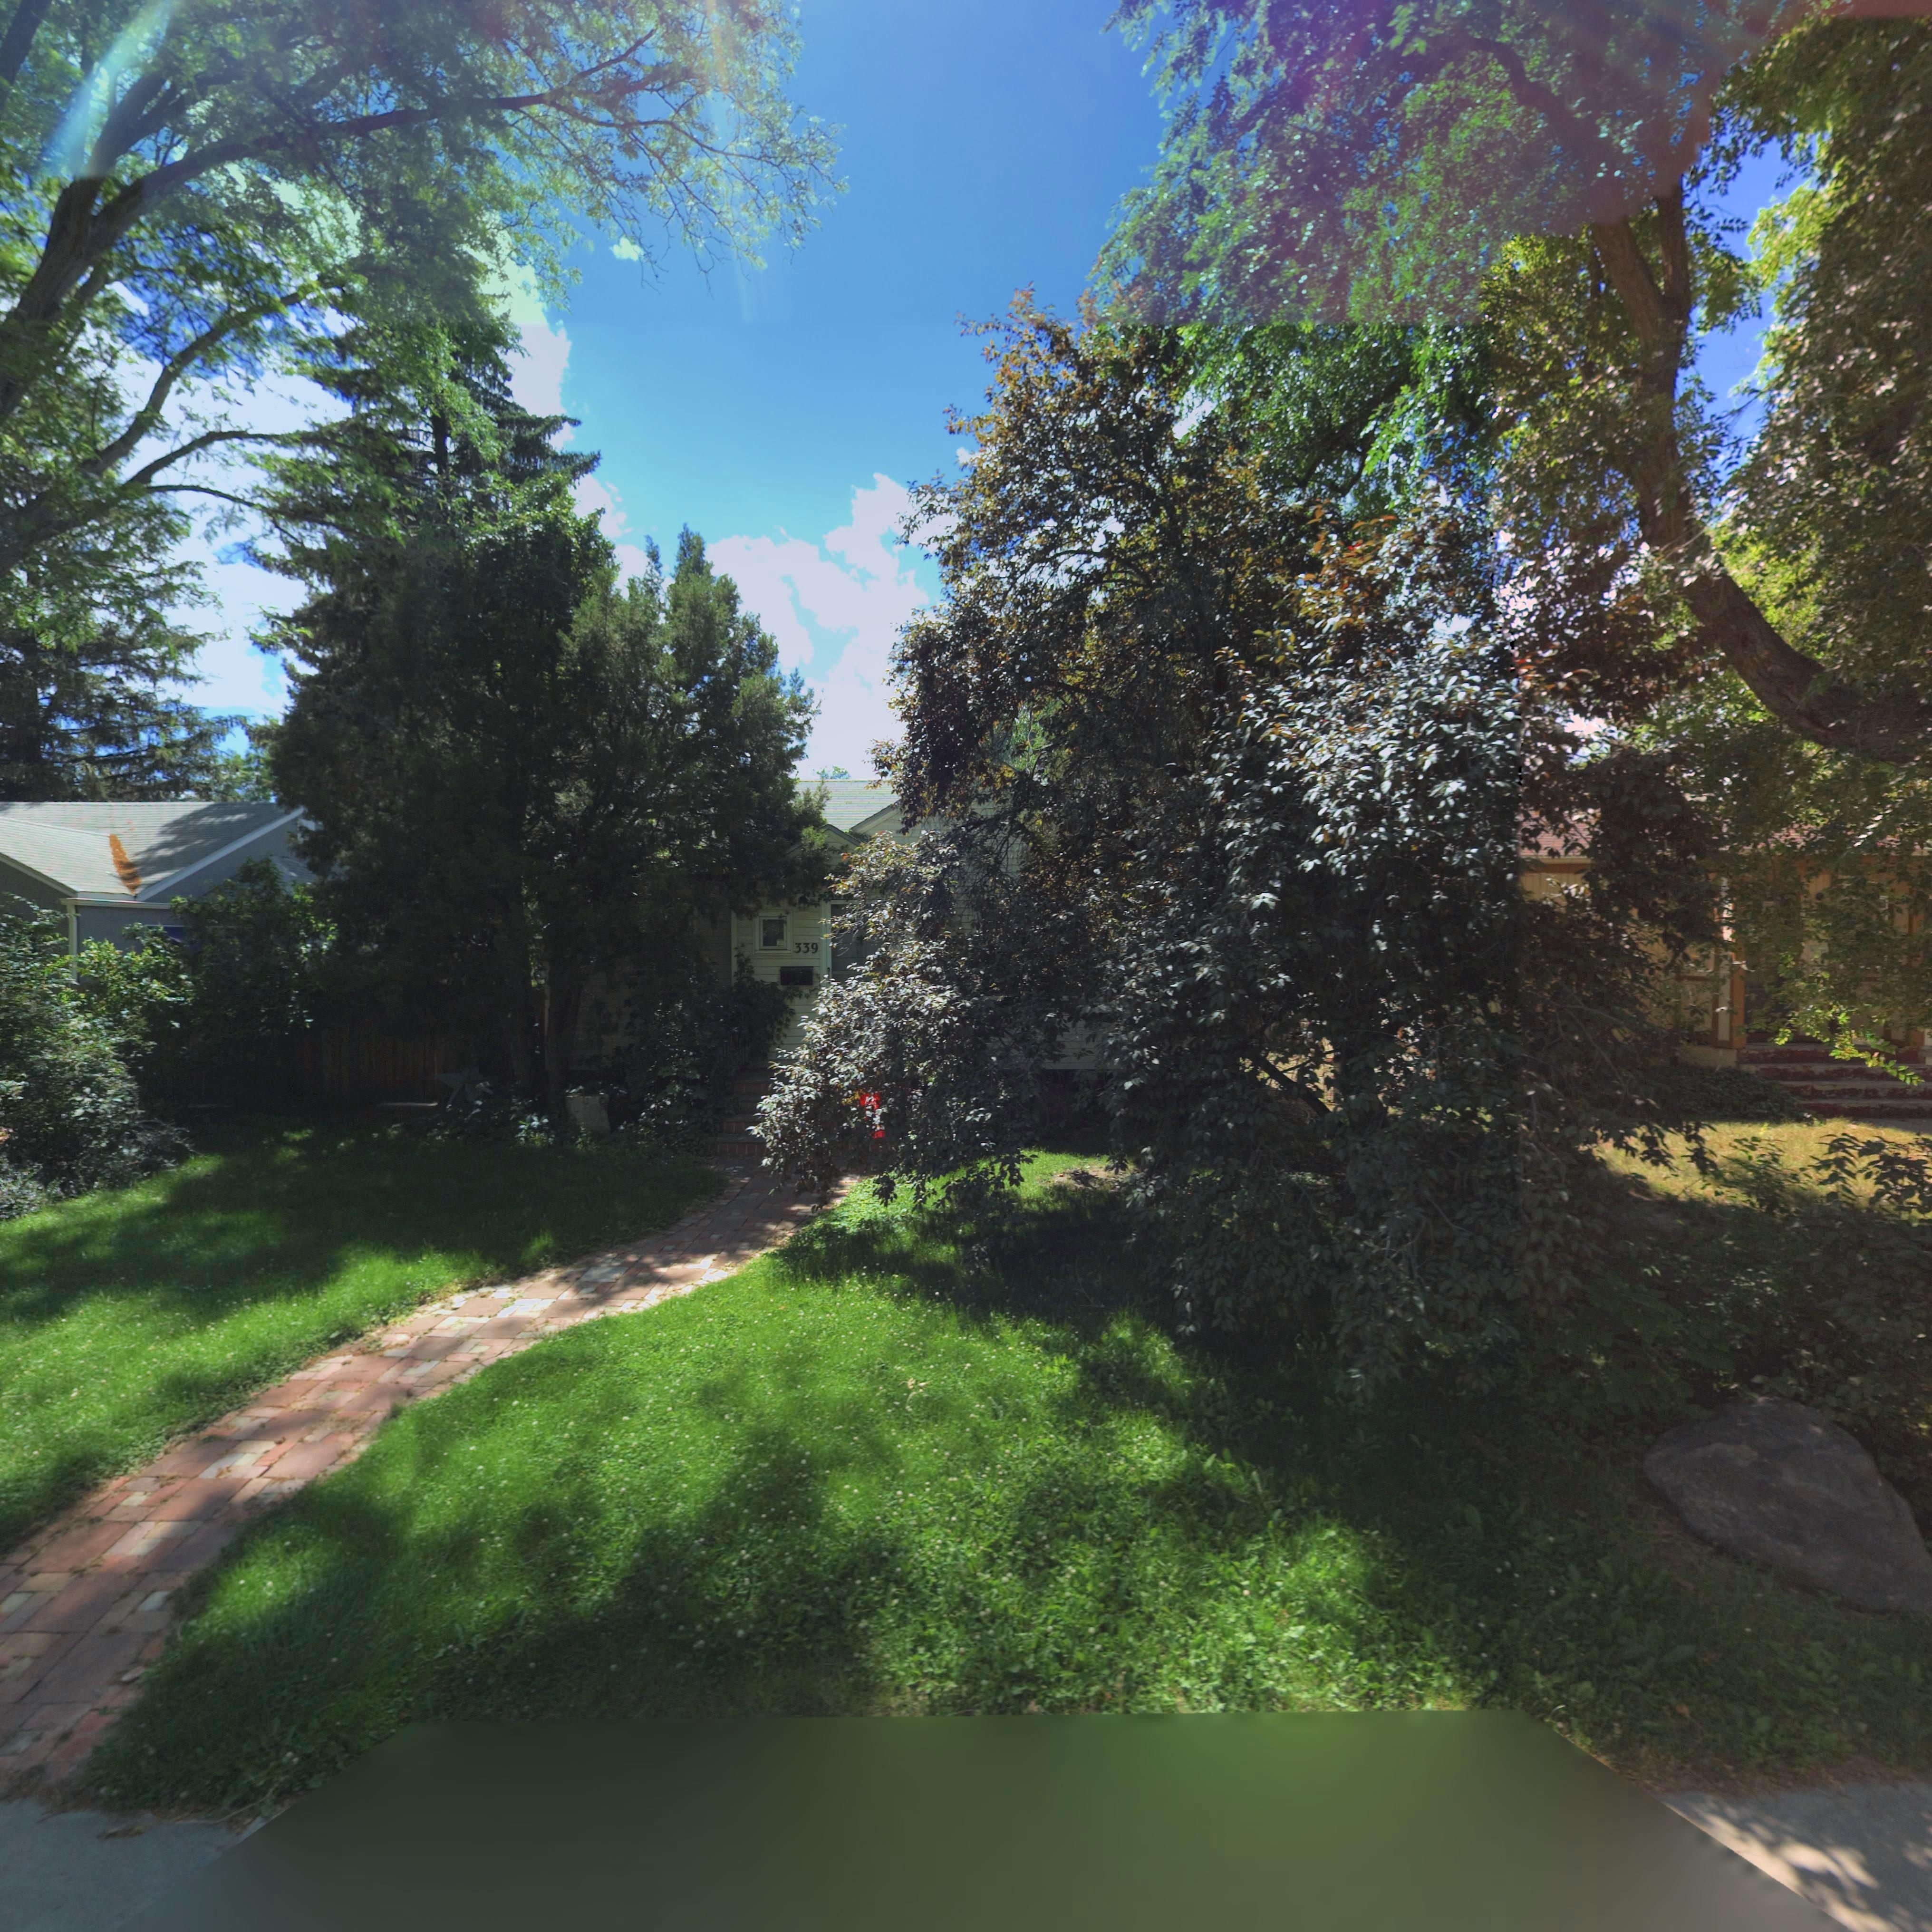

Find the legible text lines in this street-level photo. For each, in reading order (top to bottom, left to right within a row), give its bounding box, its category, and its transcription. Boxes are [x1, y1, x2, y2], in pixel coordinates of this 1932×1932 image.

[792, 942, 818, 954] StreetNumber: 339